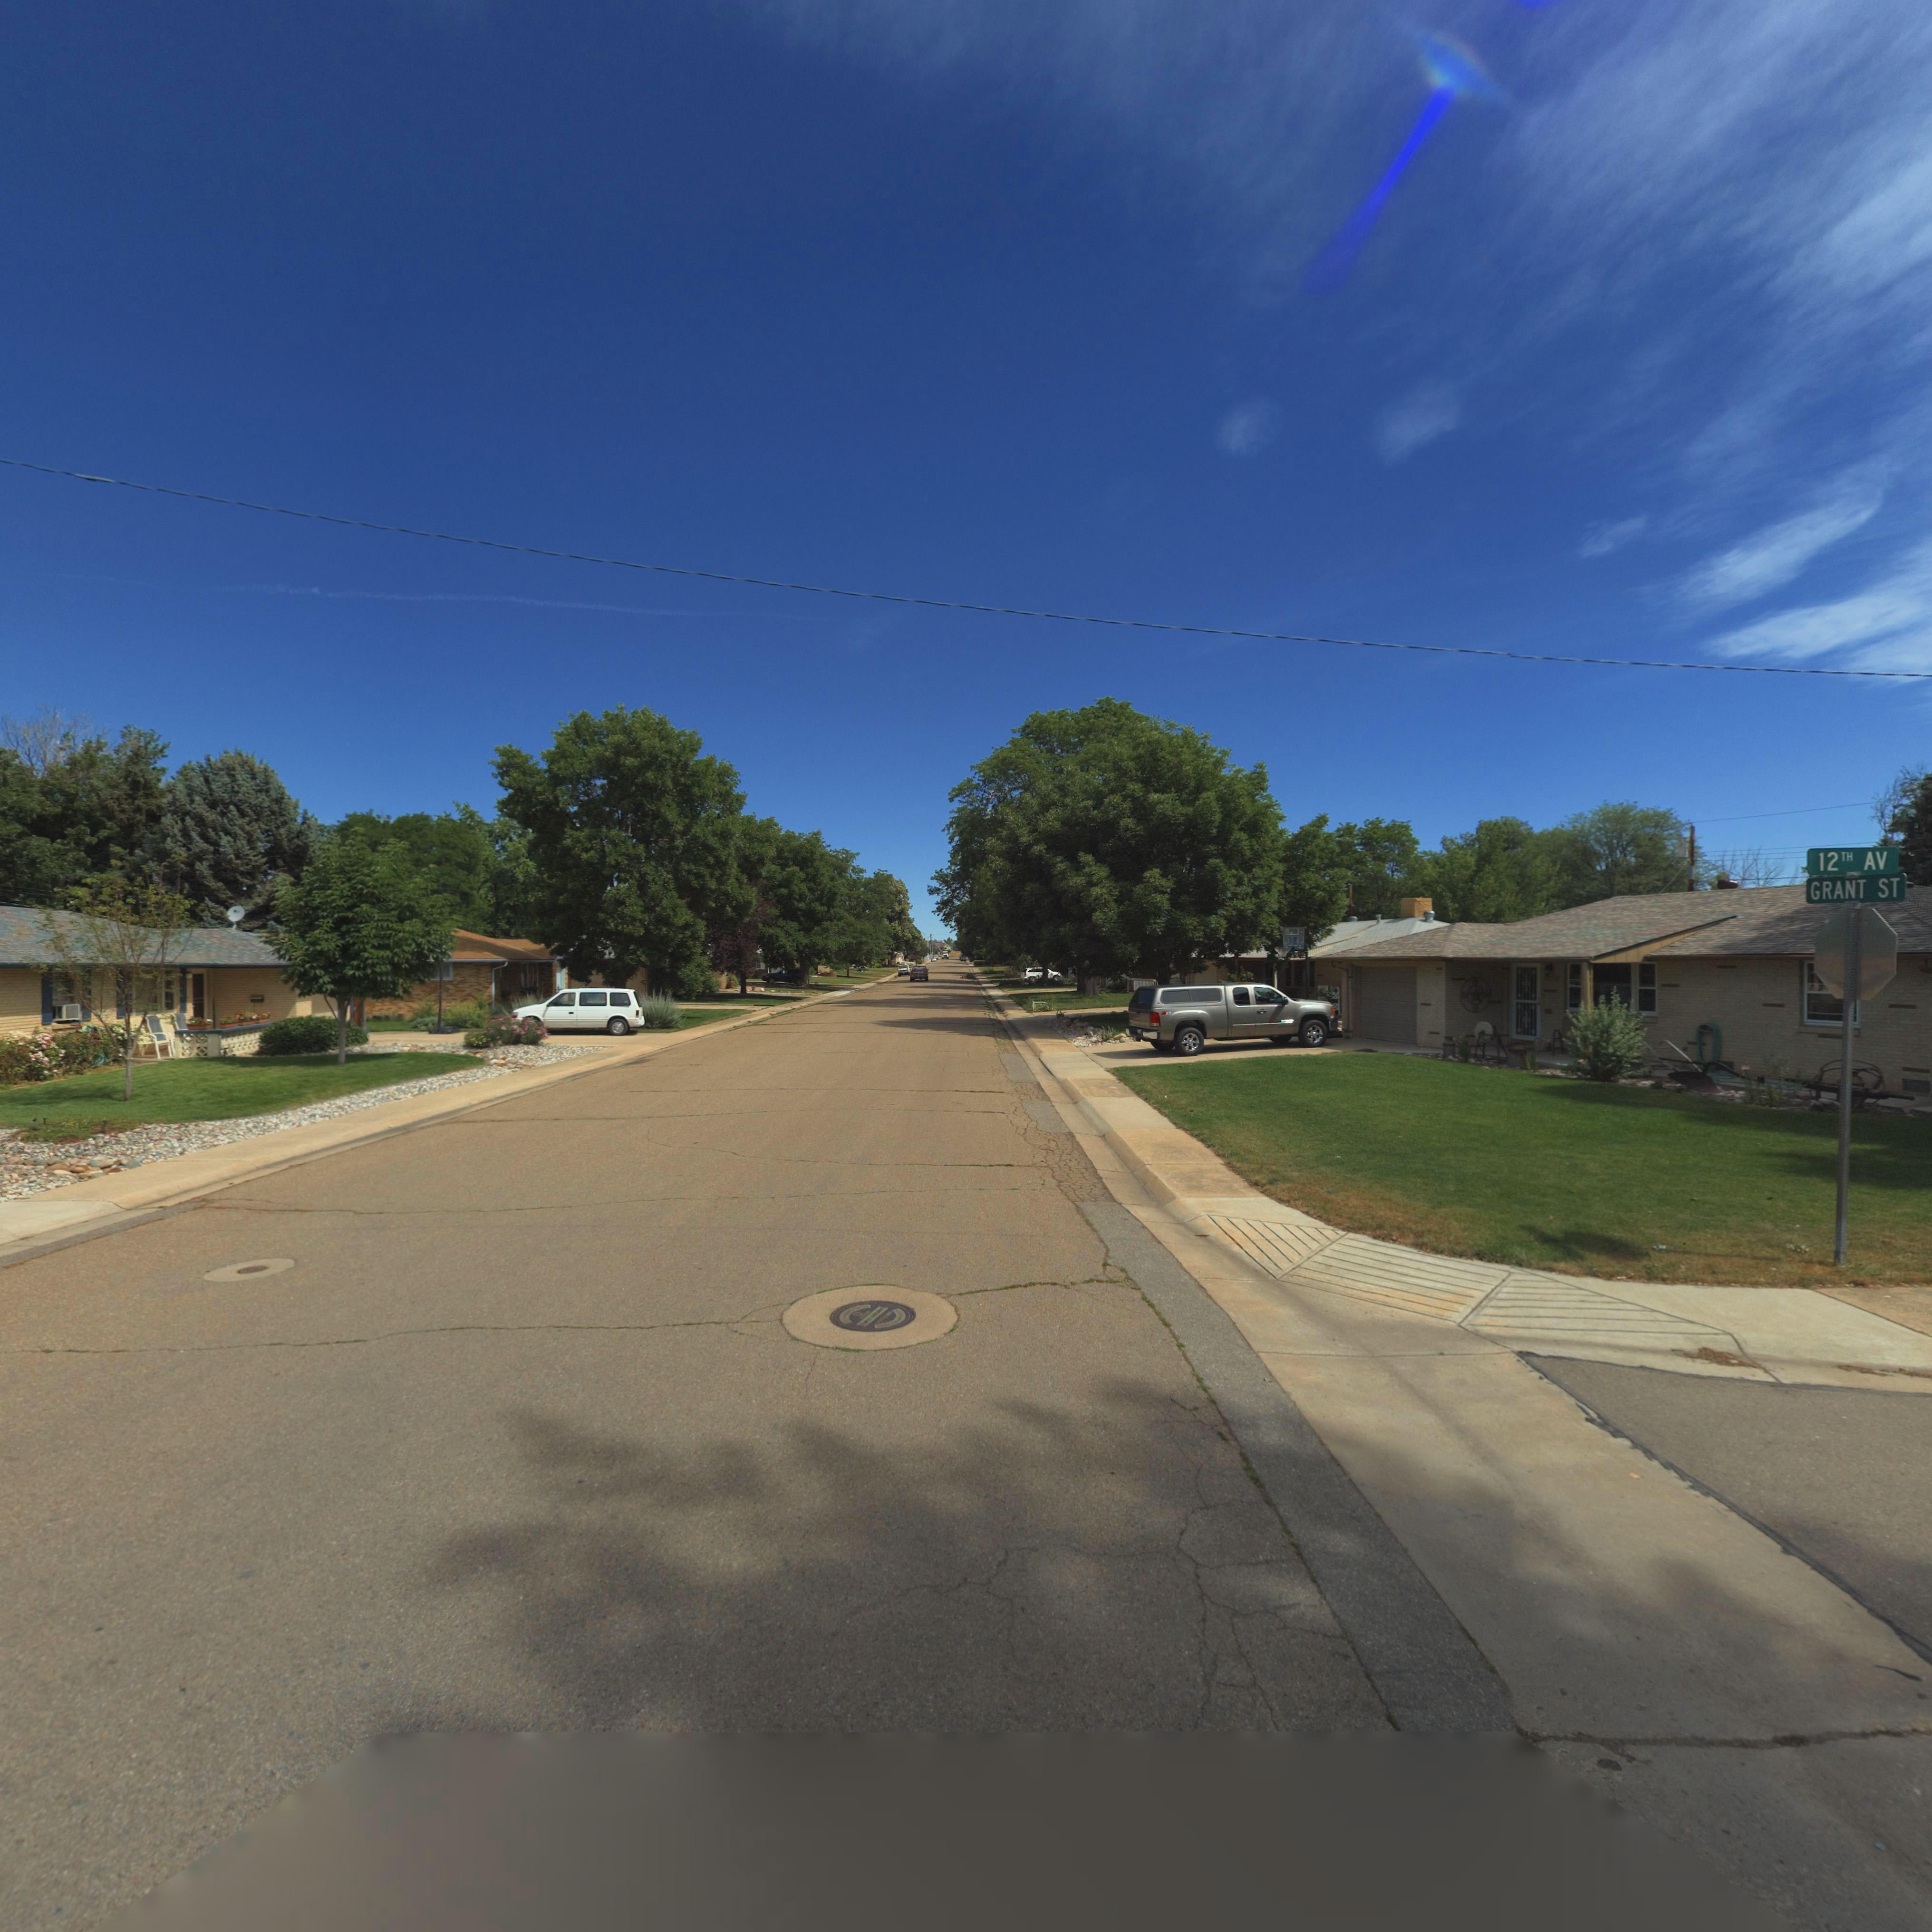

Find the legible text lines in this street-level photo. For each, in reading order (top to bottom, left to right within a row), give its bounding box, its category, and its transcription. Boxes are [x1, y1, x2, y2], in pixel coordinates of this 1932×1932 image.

[1818, 850, 1889, 872] StreetName: 12TH AV
[1809, 877, 1900, 900] StreetName: GRANT ST